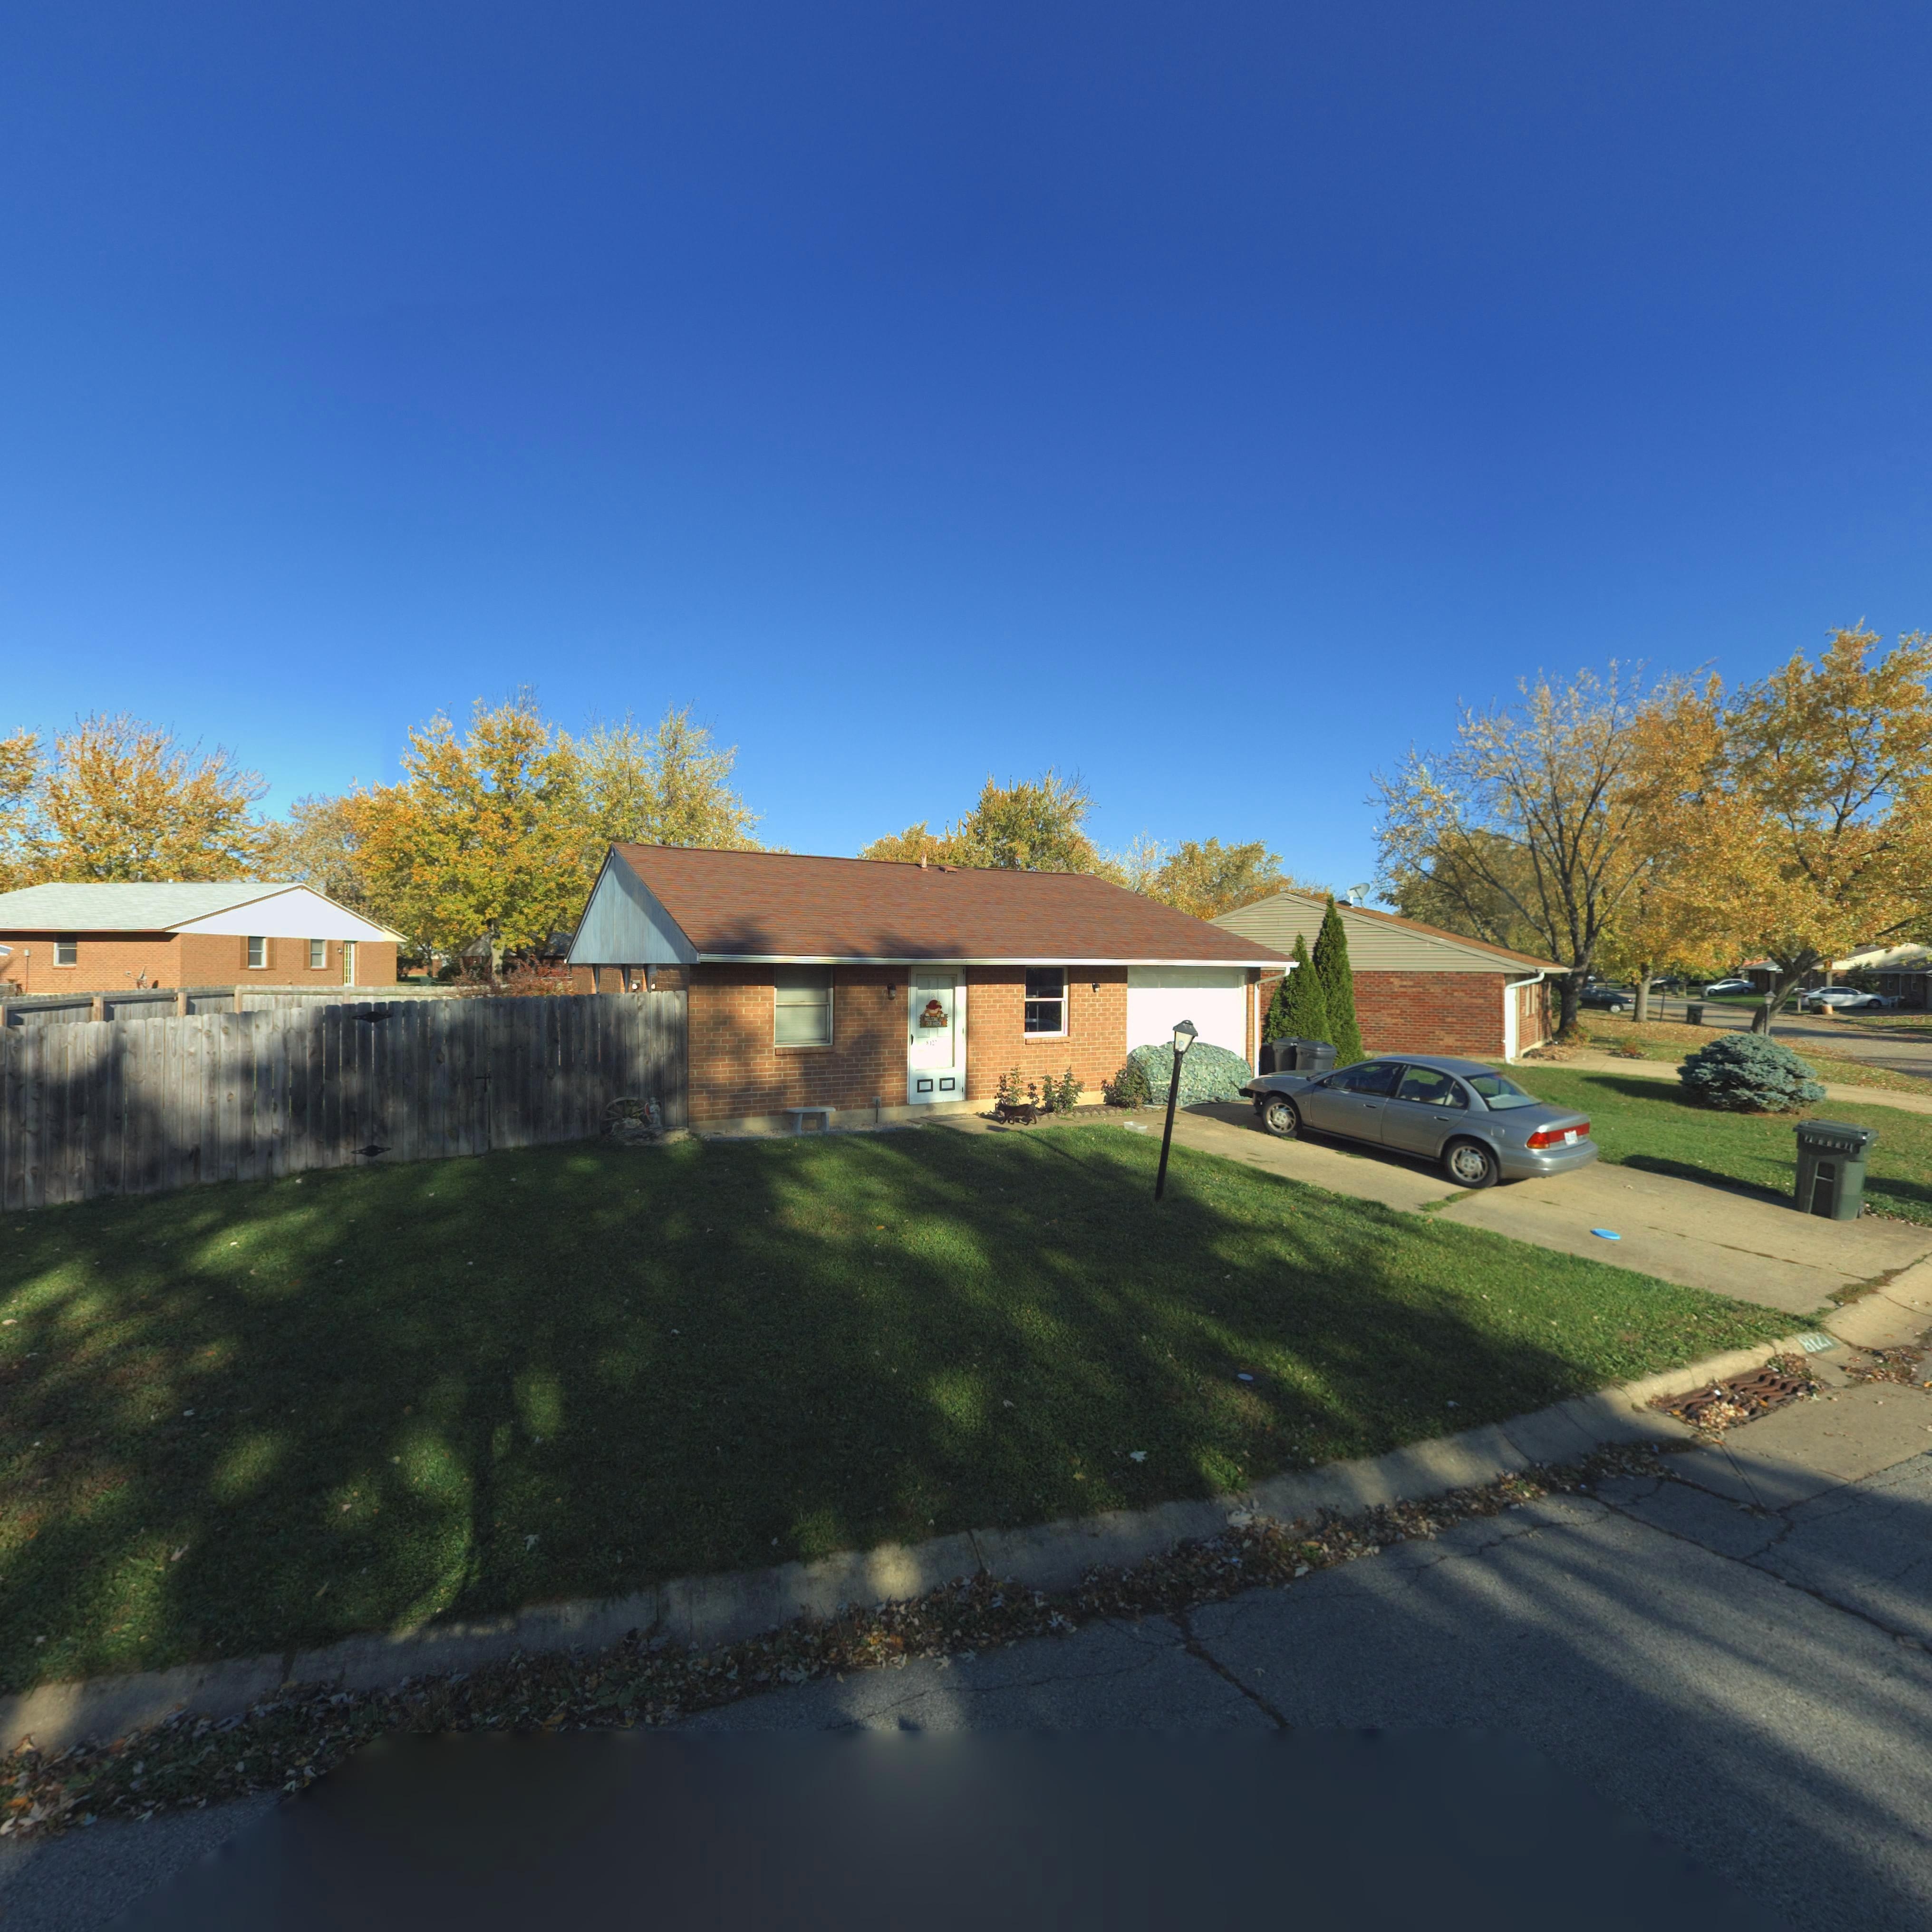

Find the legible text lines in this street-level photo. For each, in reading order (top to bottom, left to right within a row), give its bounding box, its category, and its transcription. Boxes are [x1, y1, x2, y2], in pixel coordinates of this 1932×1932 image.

[1793, 1330, 1835, 1355] StreetNumber: 812*